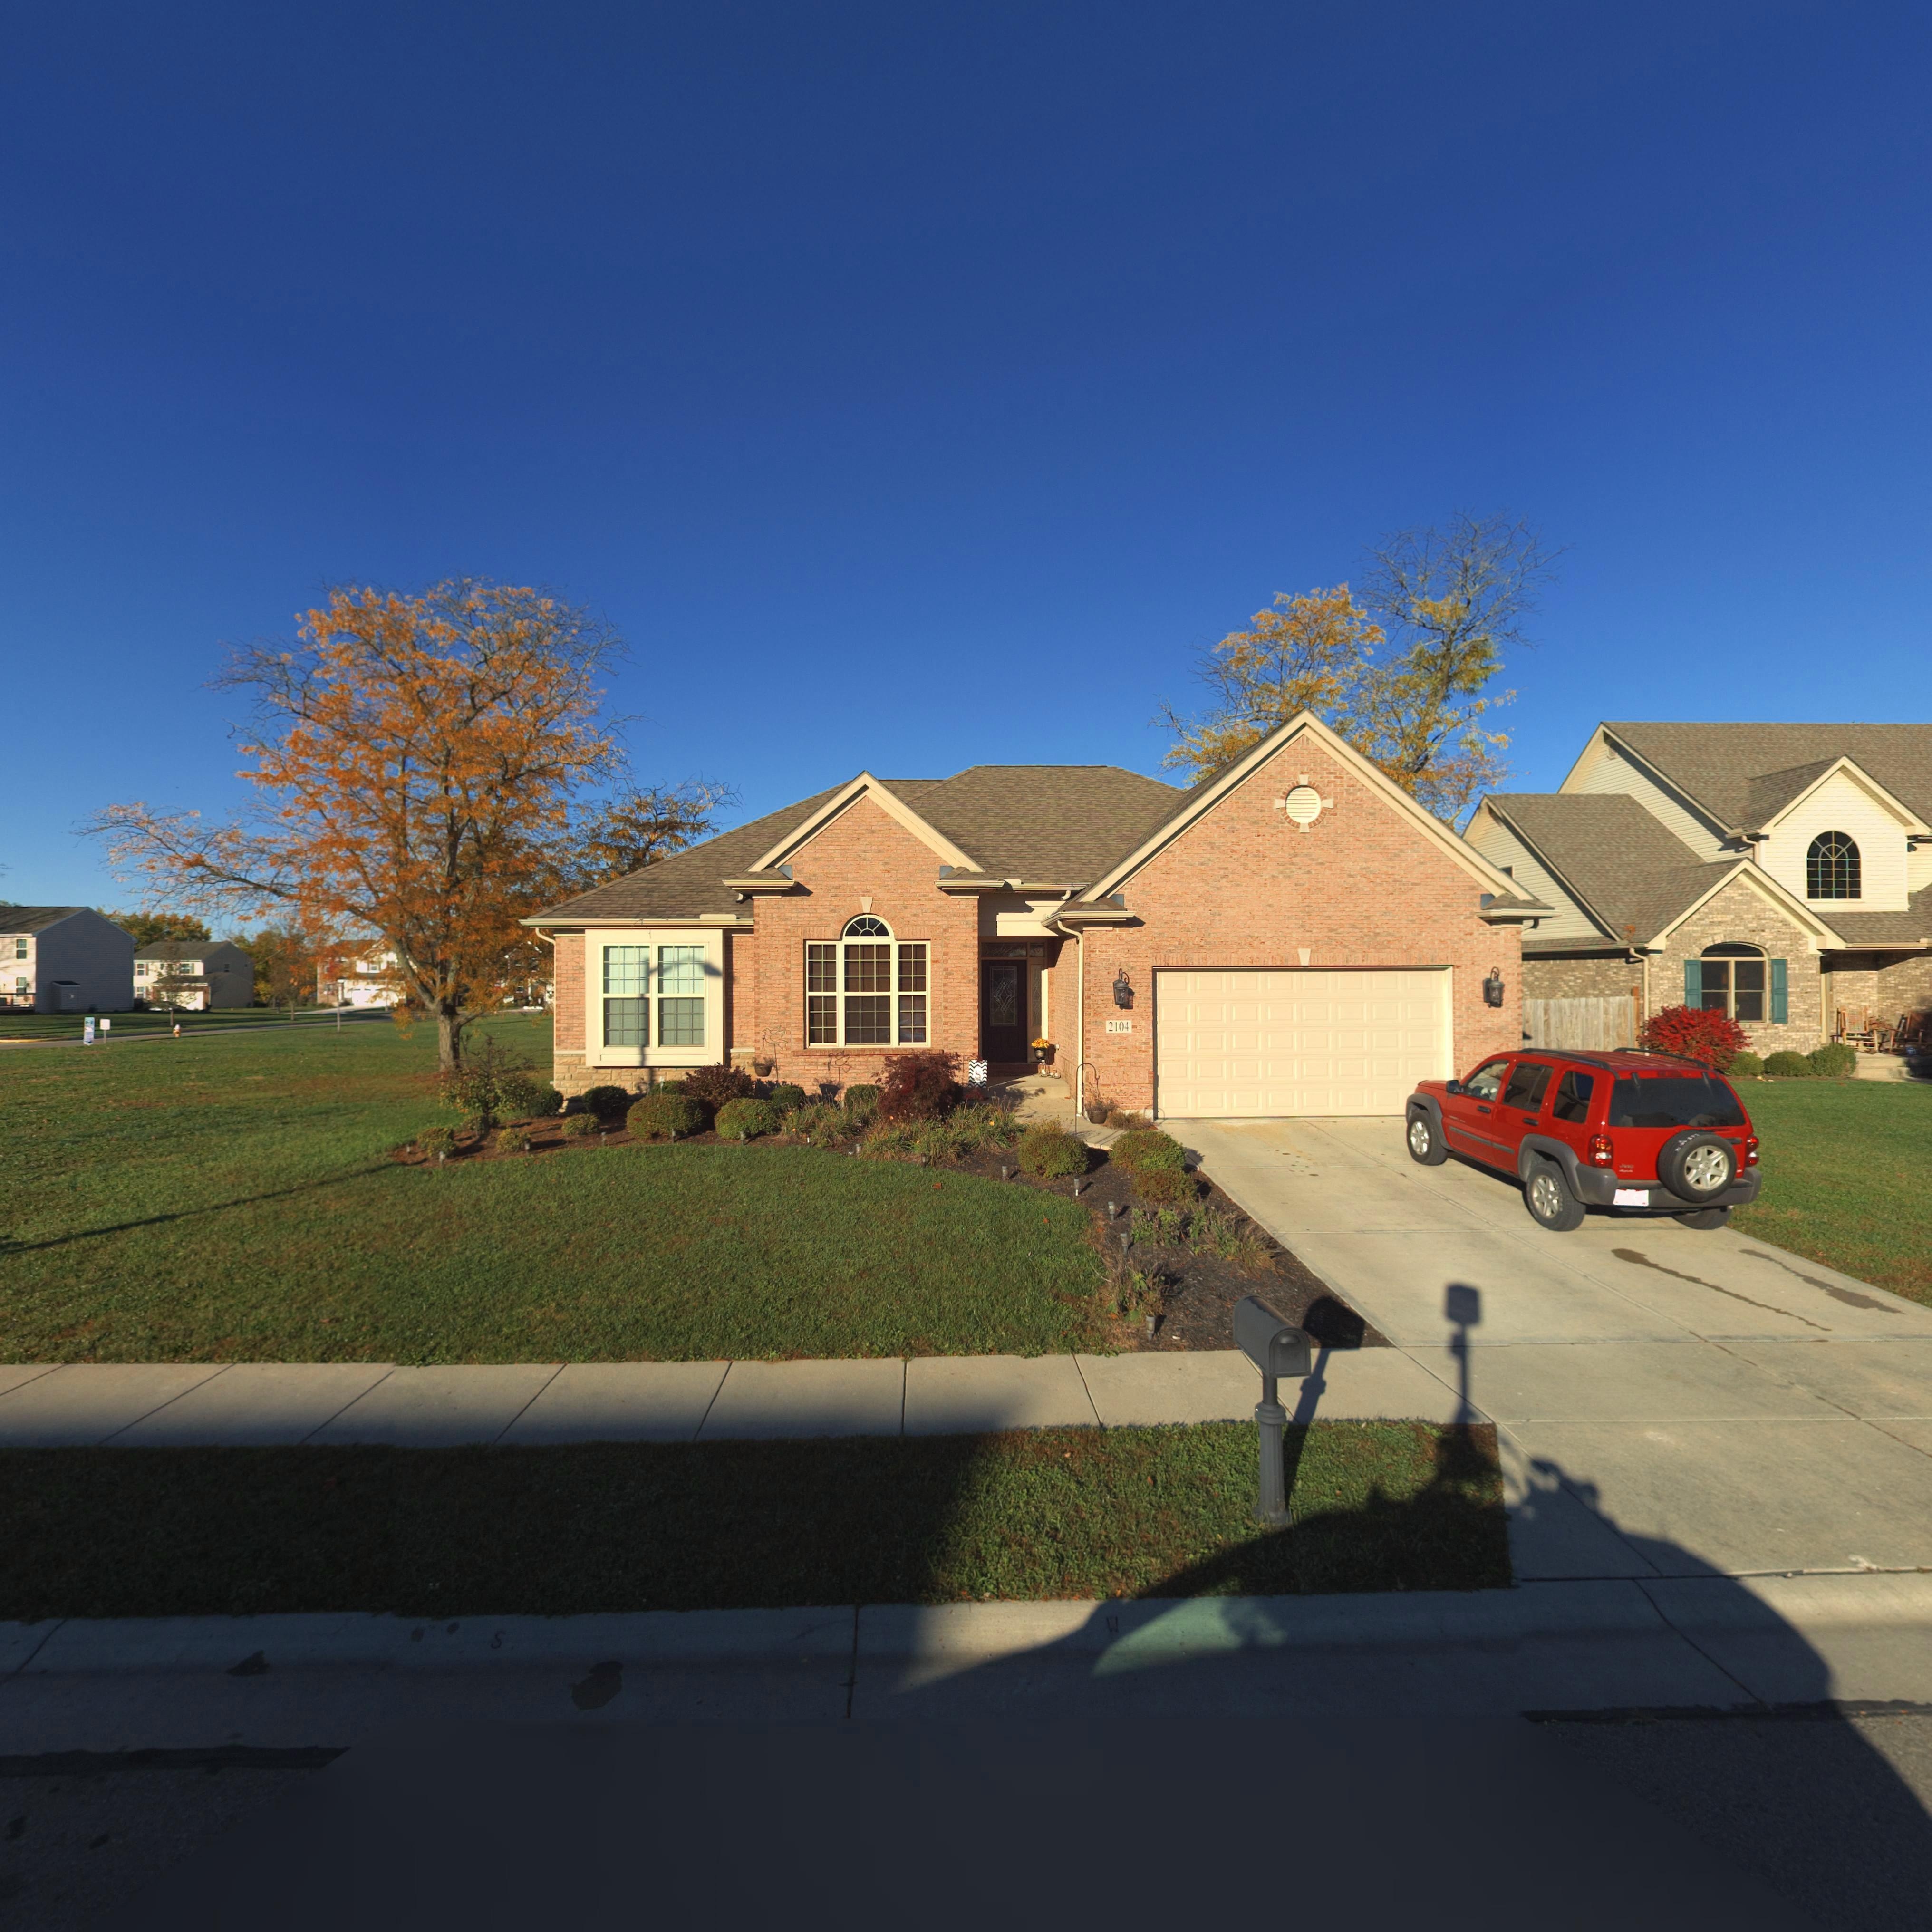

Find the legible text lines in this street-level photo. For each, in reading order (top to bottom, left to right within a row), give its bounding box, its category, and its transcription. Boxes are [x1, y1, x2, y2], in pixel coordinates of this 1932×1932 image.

[1108, 1020, 1130, 1033] StreetNumber: 2104